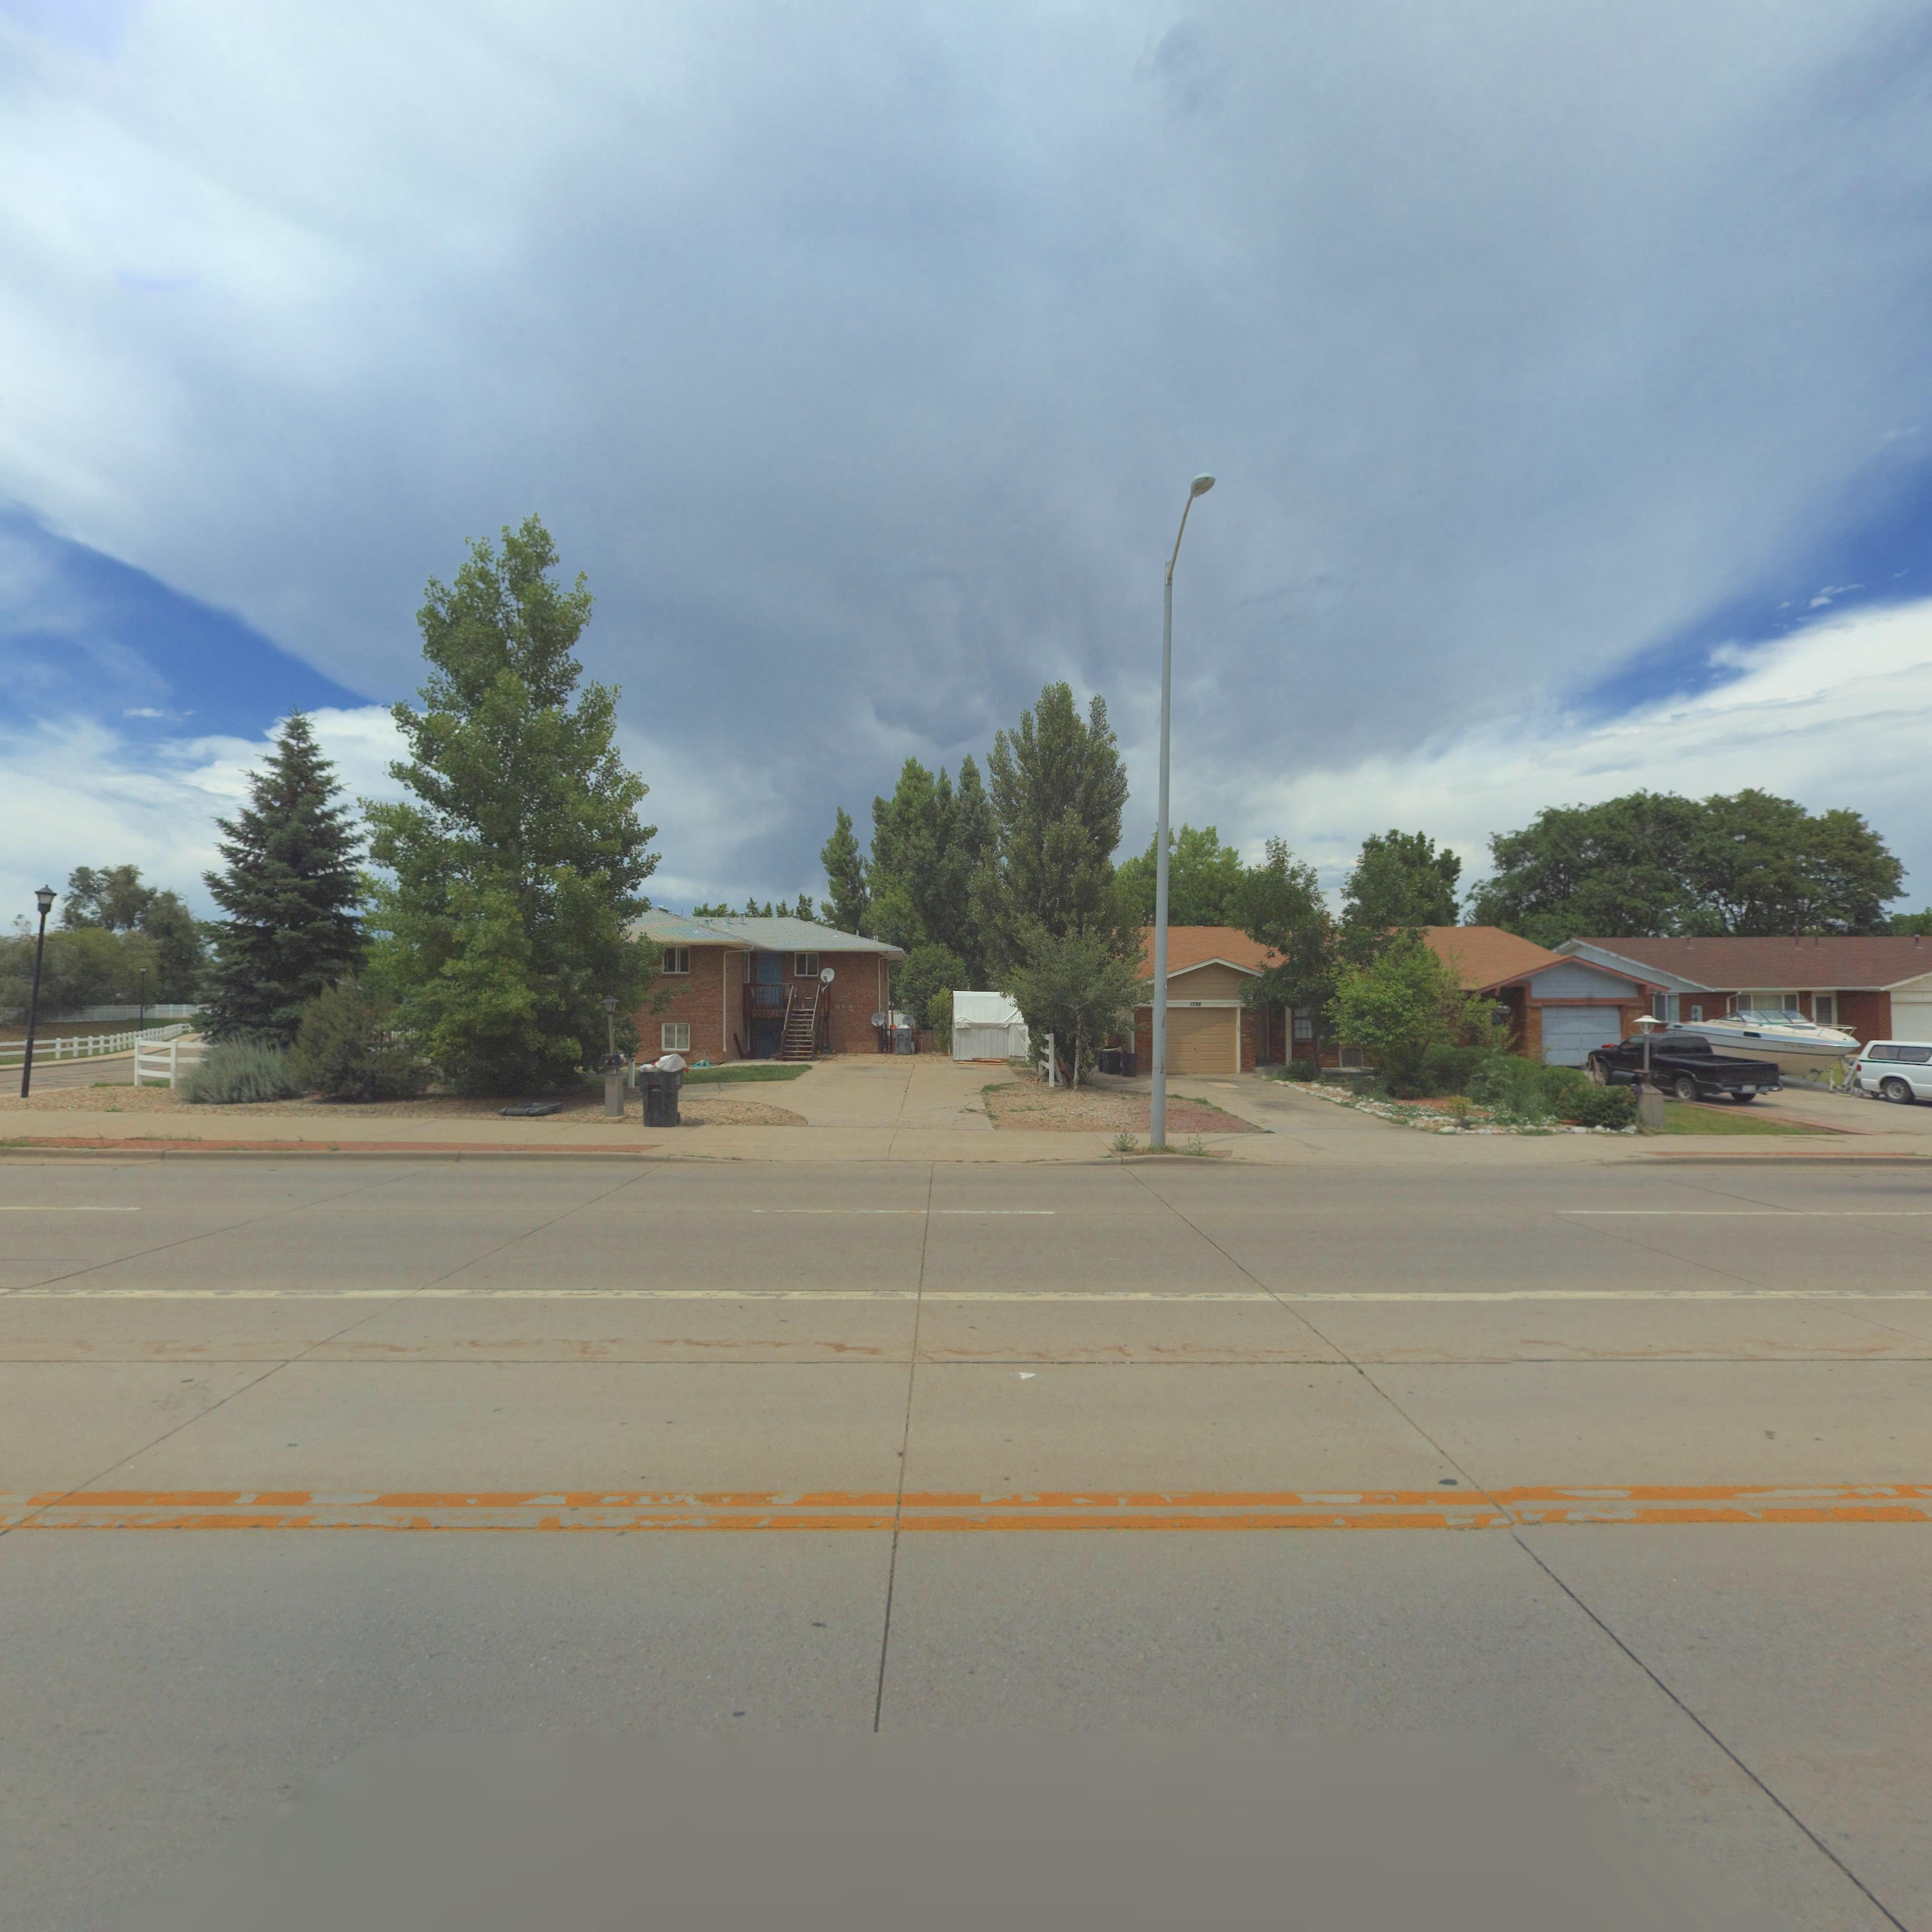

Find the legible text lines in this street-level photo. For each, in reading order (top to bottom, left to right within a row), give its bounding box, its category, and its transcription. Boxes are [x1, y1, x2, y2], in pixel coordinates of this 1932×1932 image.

[1189, 1001, 1201, 1006] StreetNumber: 132*